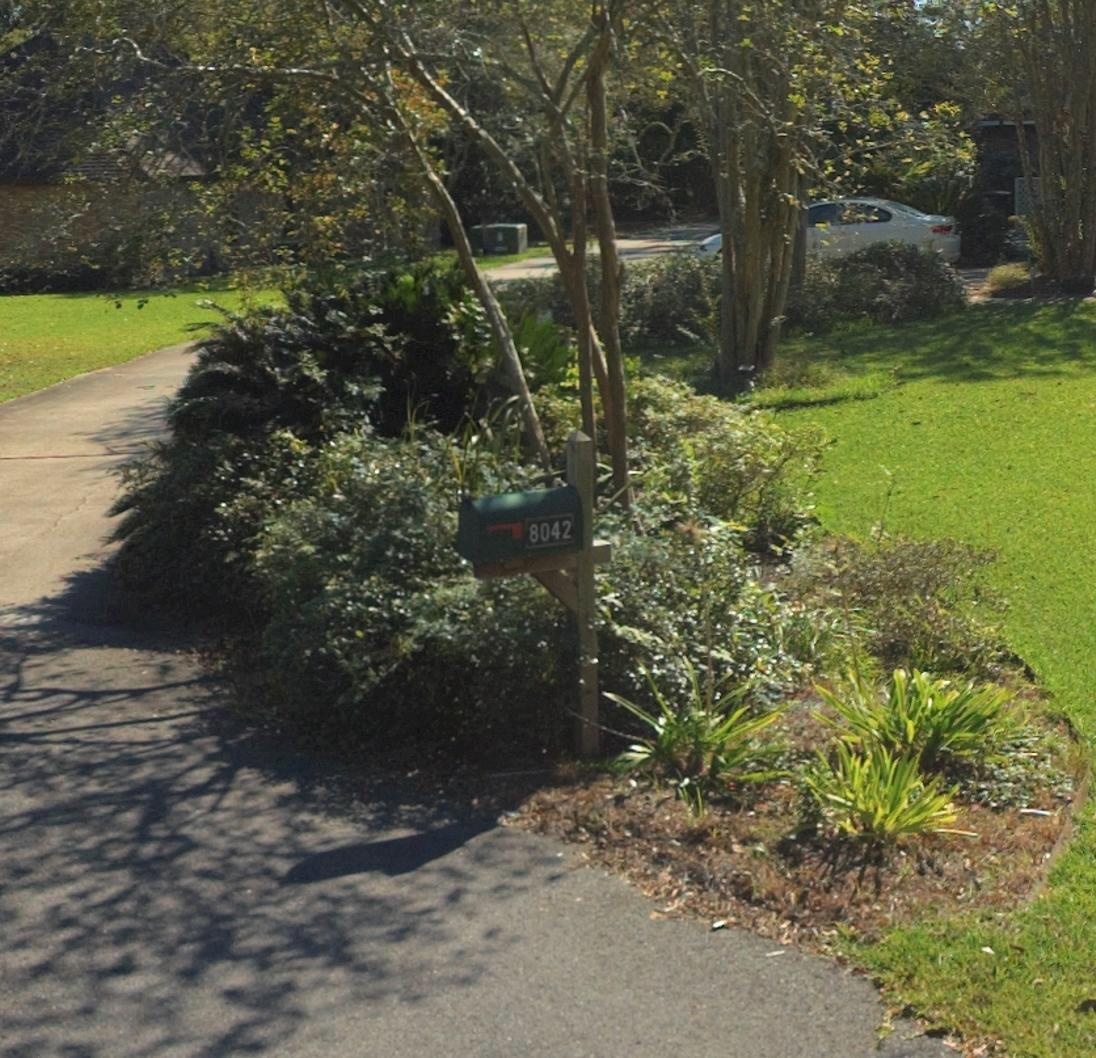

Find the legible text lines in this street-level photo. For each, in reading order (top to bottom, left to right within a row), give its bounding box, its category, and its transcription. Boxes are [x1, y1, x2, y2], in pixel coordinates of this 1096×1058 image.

[529, 519, 572, 544] StreetNumber: 8042